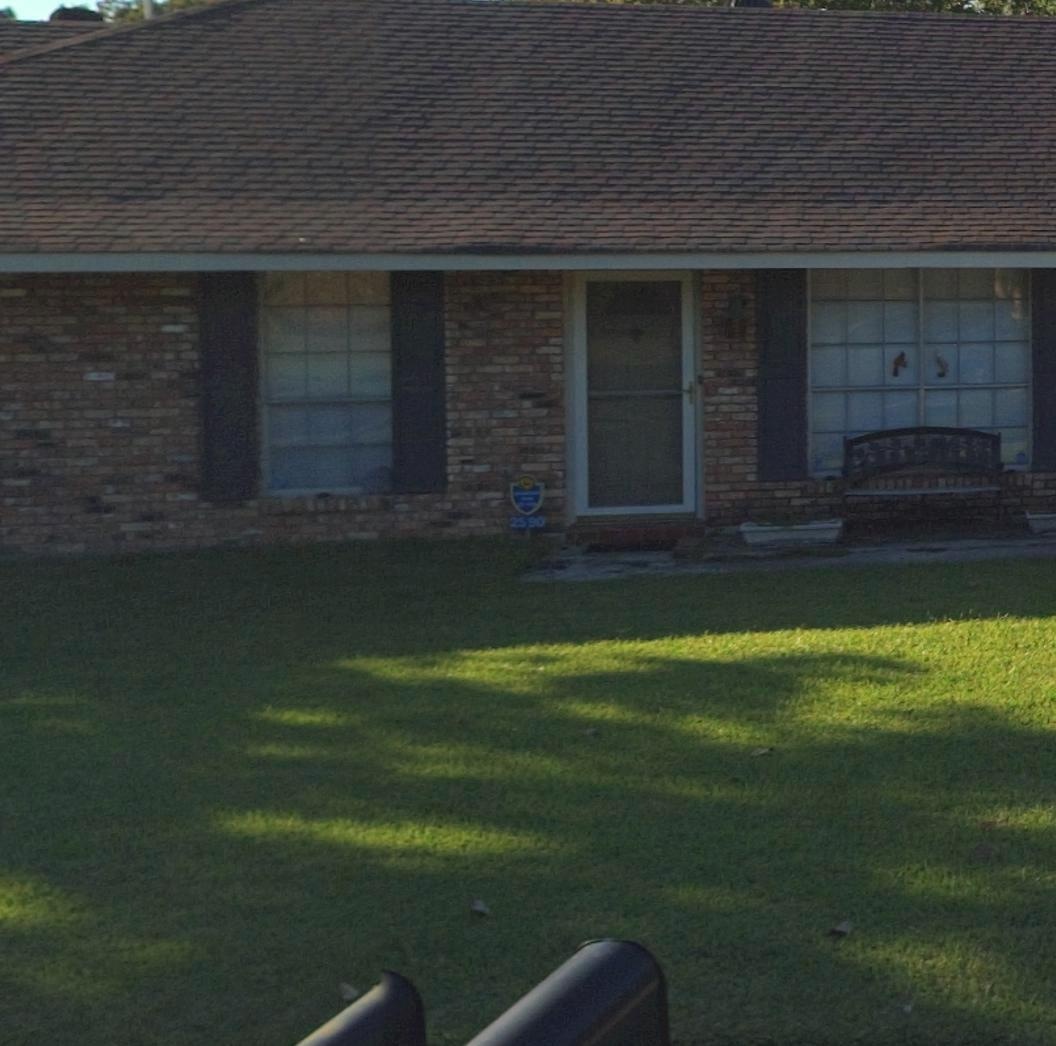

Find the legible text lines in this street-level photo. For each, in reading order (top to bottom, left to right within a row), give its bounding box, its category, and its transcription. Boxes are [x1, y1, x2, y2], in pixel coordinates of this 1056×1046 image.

[508, 515, 546, 528] StreetNumber: 2590